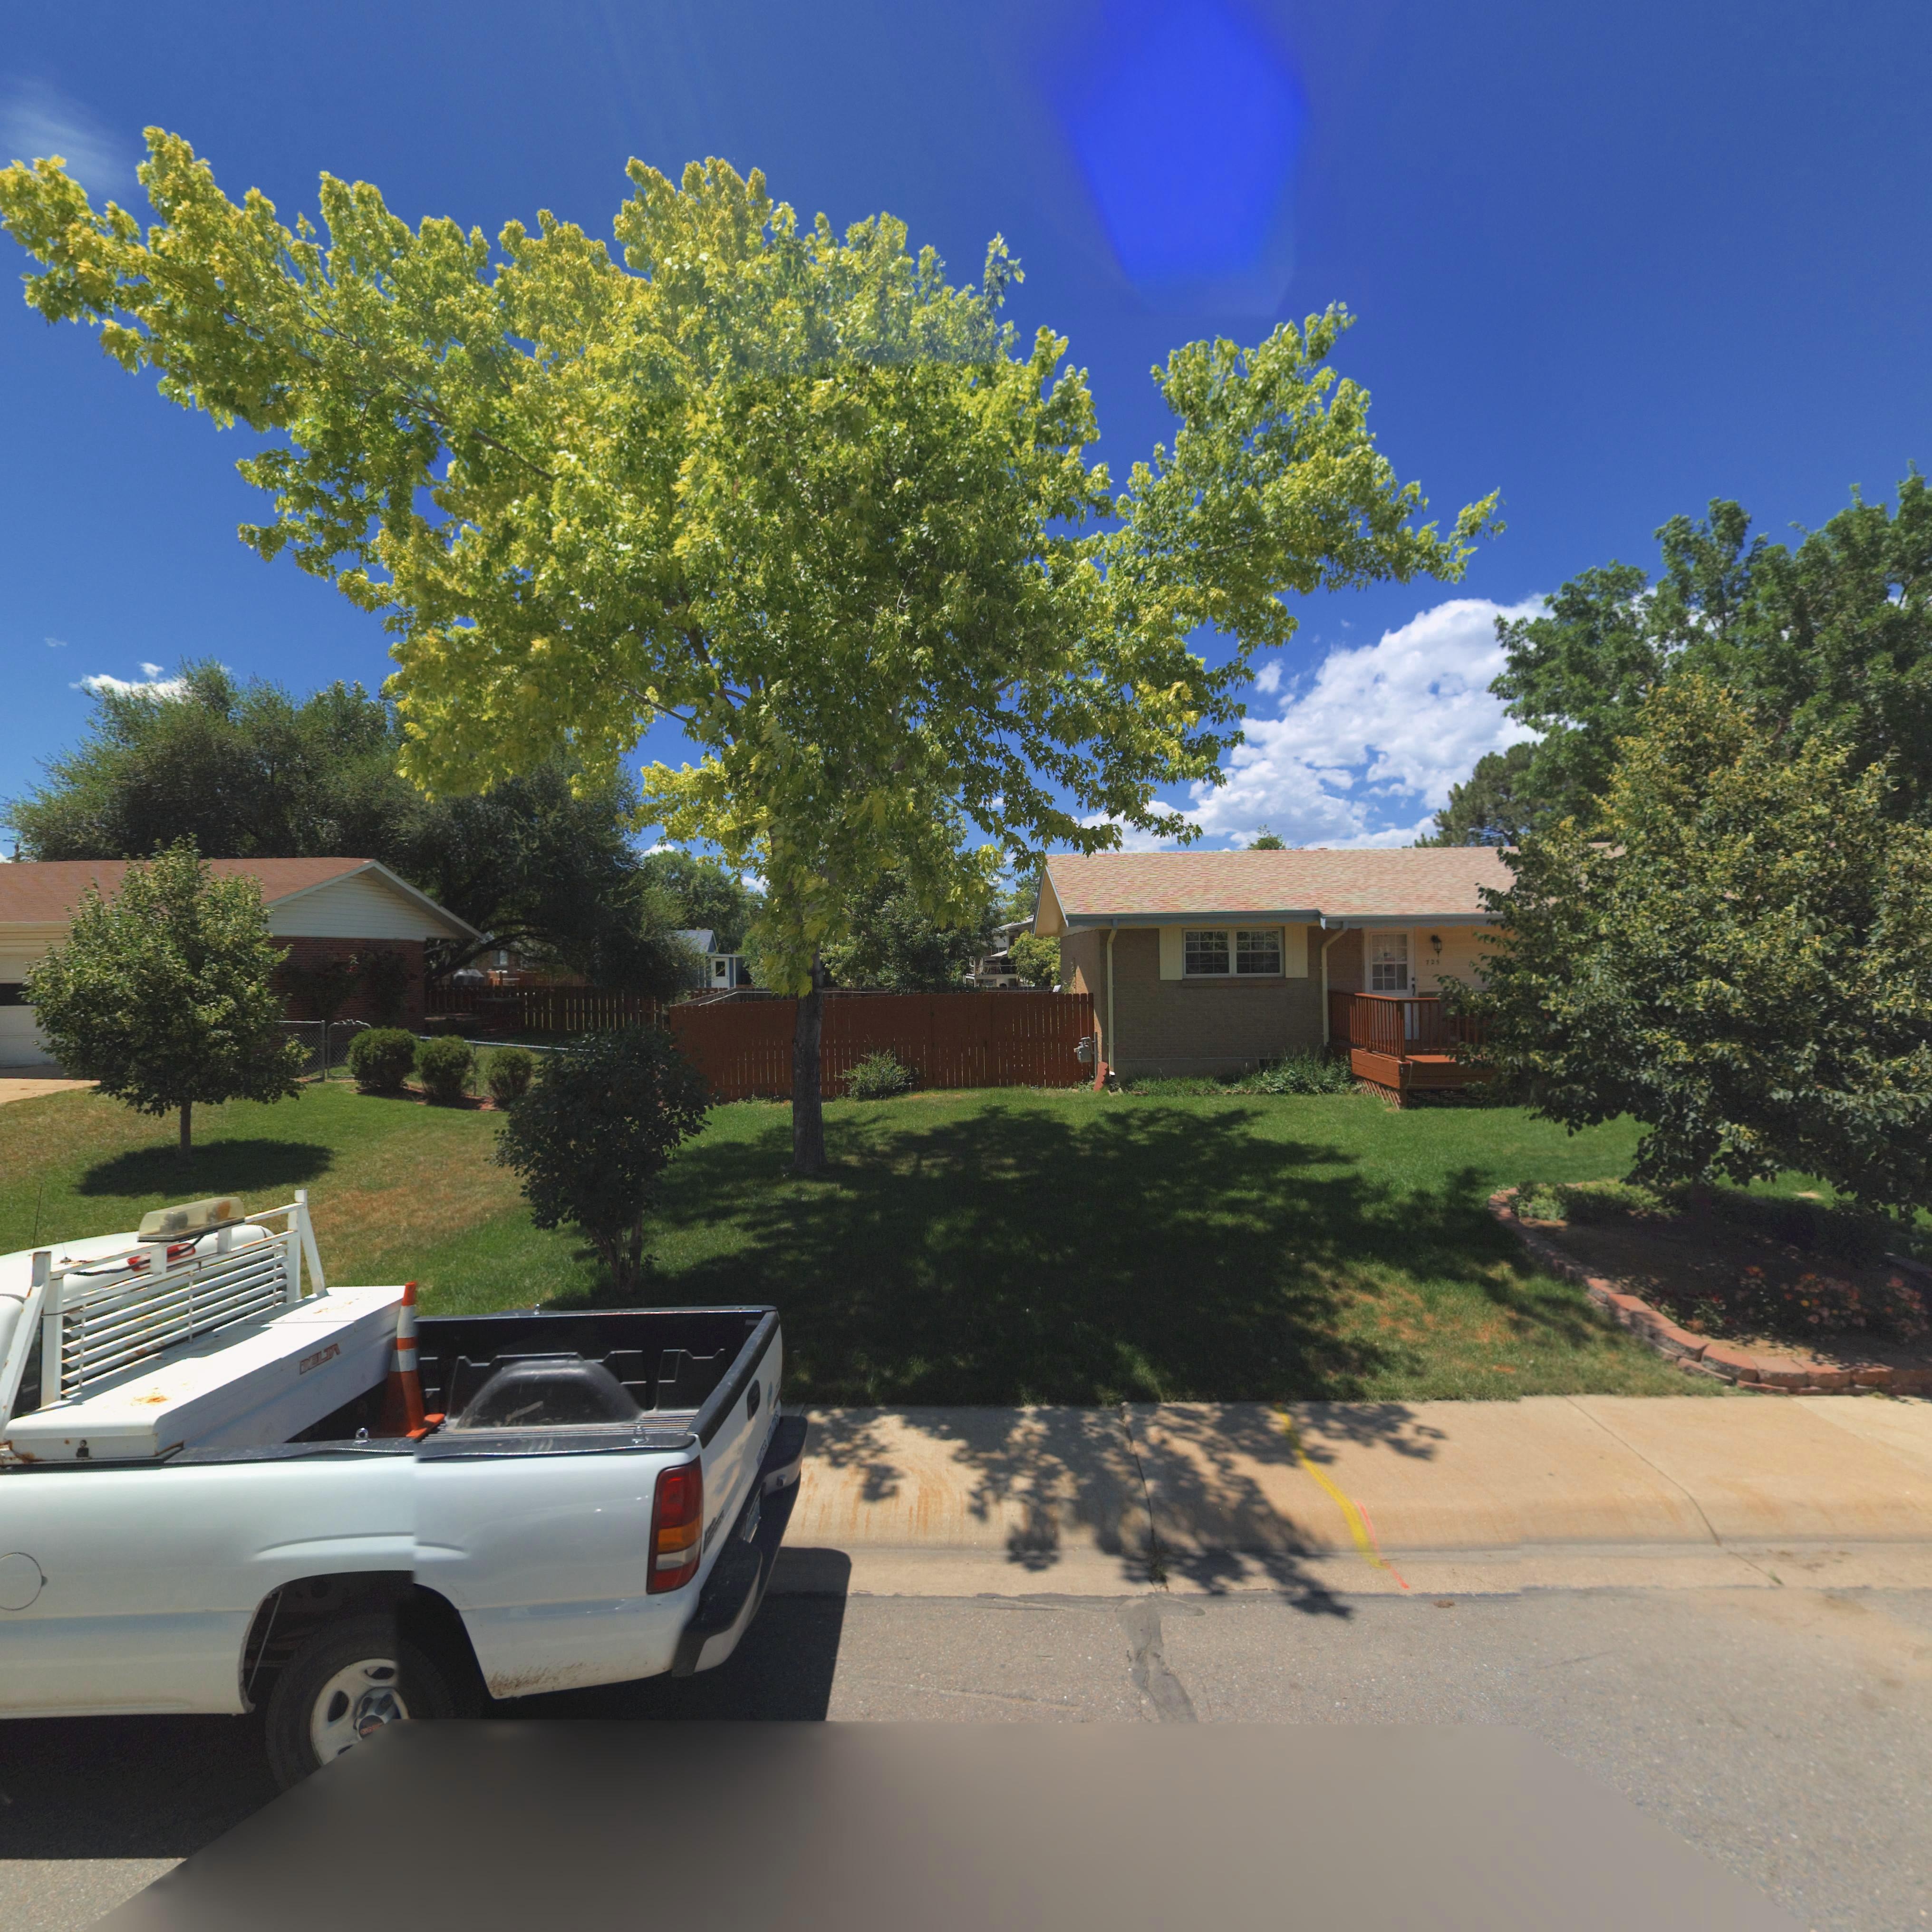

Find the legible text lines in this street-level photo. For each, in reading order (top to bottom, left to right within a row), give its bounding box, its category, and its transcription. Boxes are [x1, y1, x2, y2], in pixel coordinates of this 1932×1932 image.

[1425, 959, 1440, 965] StreetNumber: 725